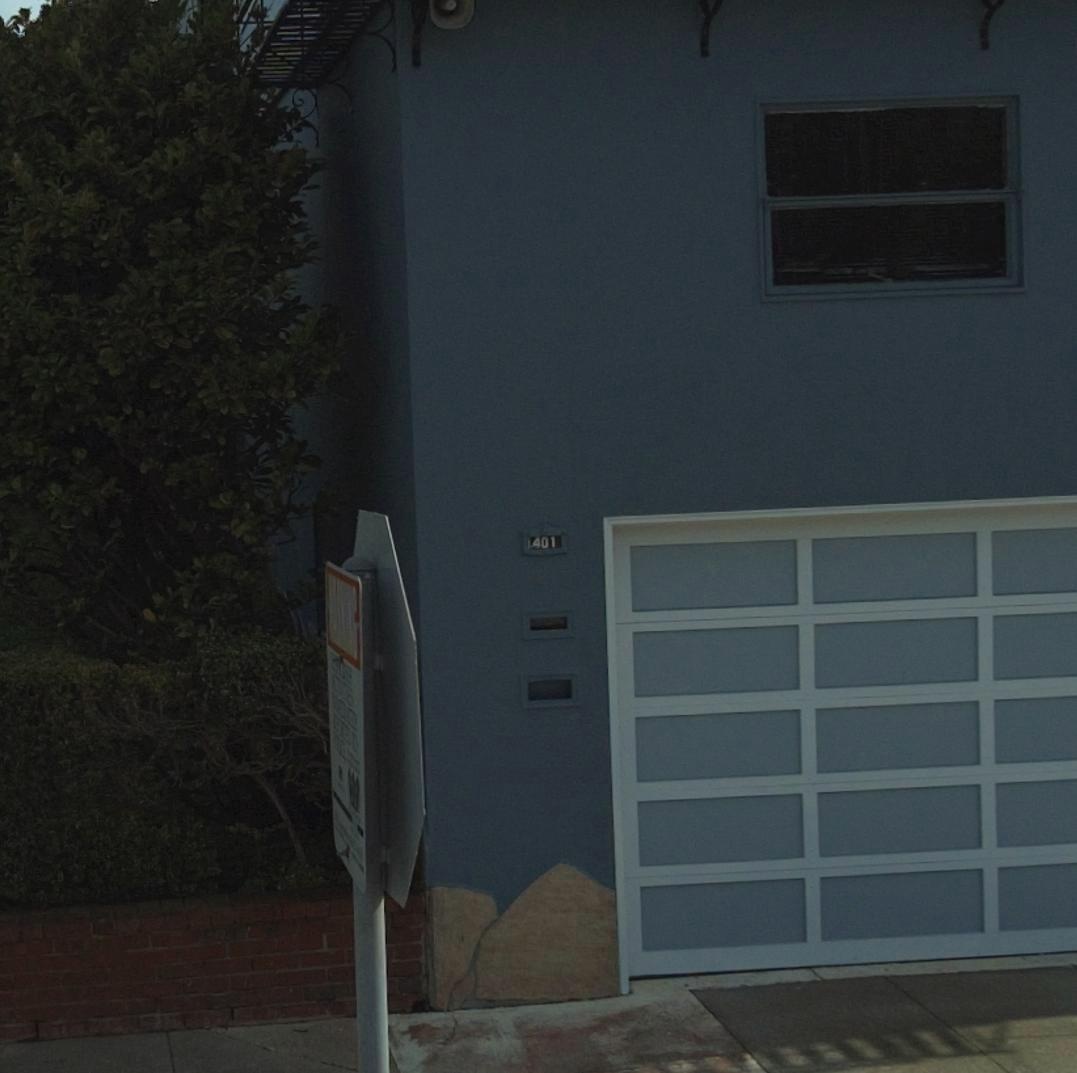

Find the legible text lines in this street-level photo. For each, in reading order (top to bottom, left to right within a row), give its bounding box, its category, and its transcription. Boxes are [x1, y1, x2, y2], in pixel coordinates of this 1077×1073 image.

[531, 535, 557, 550] StreetNumber: 041